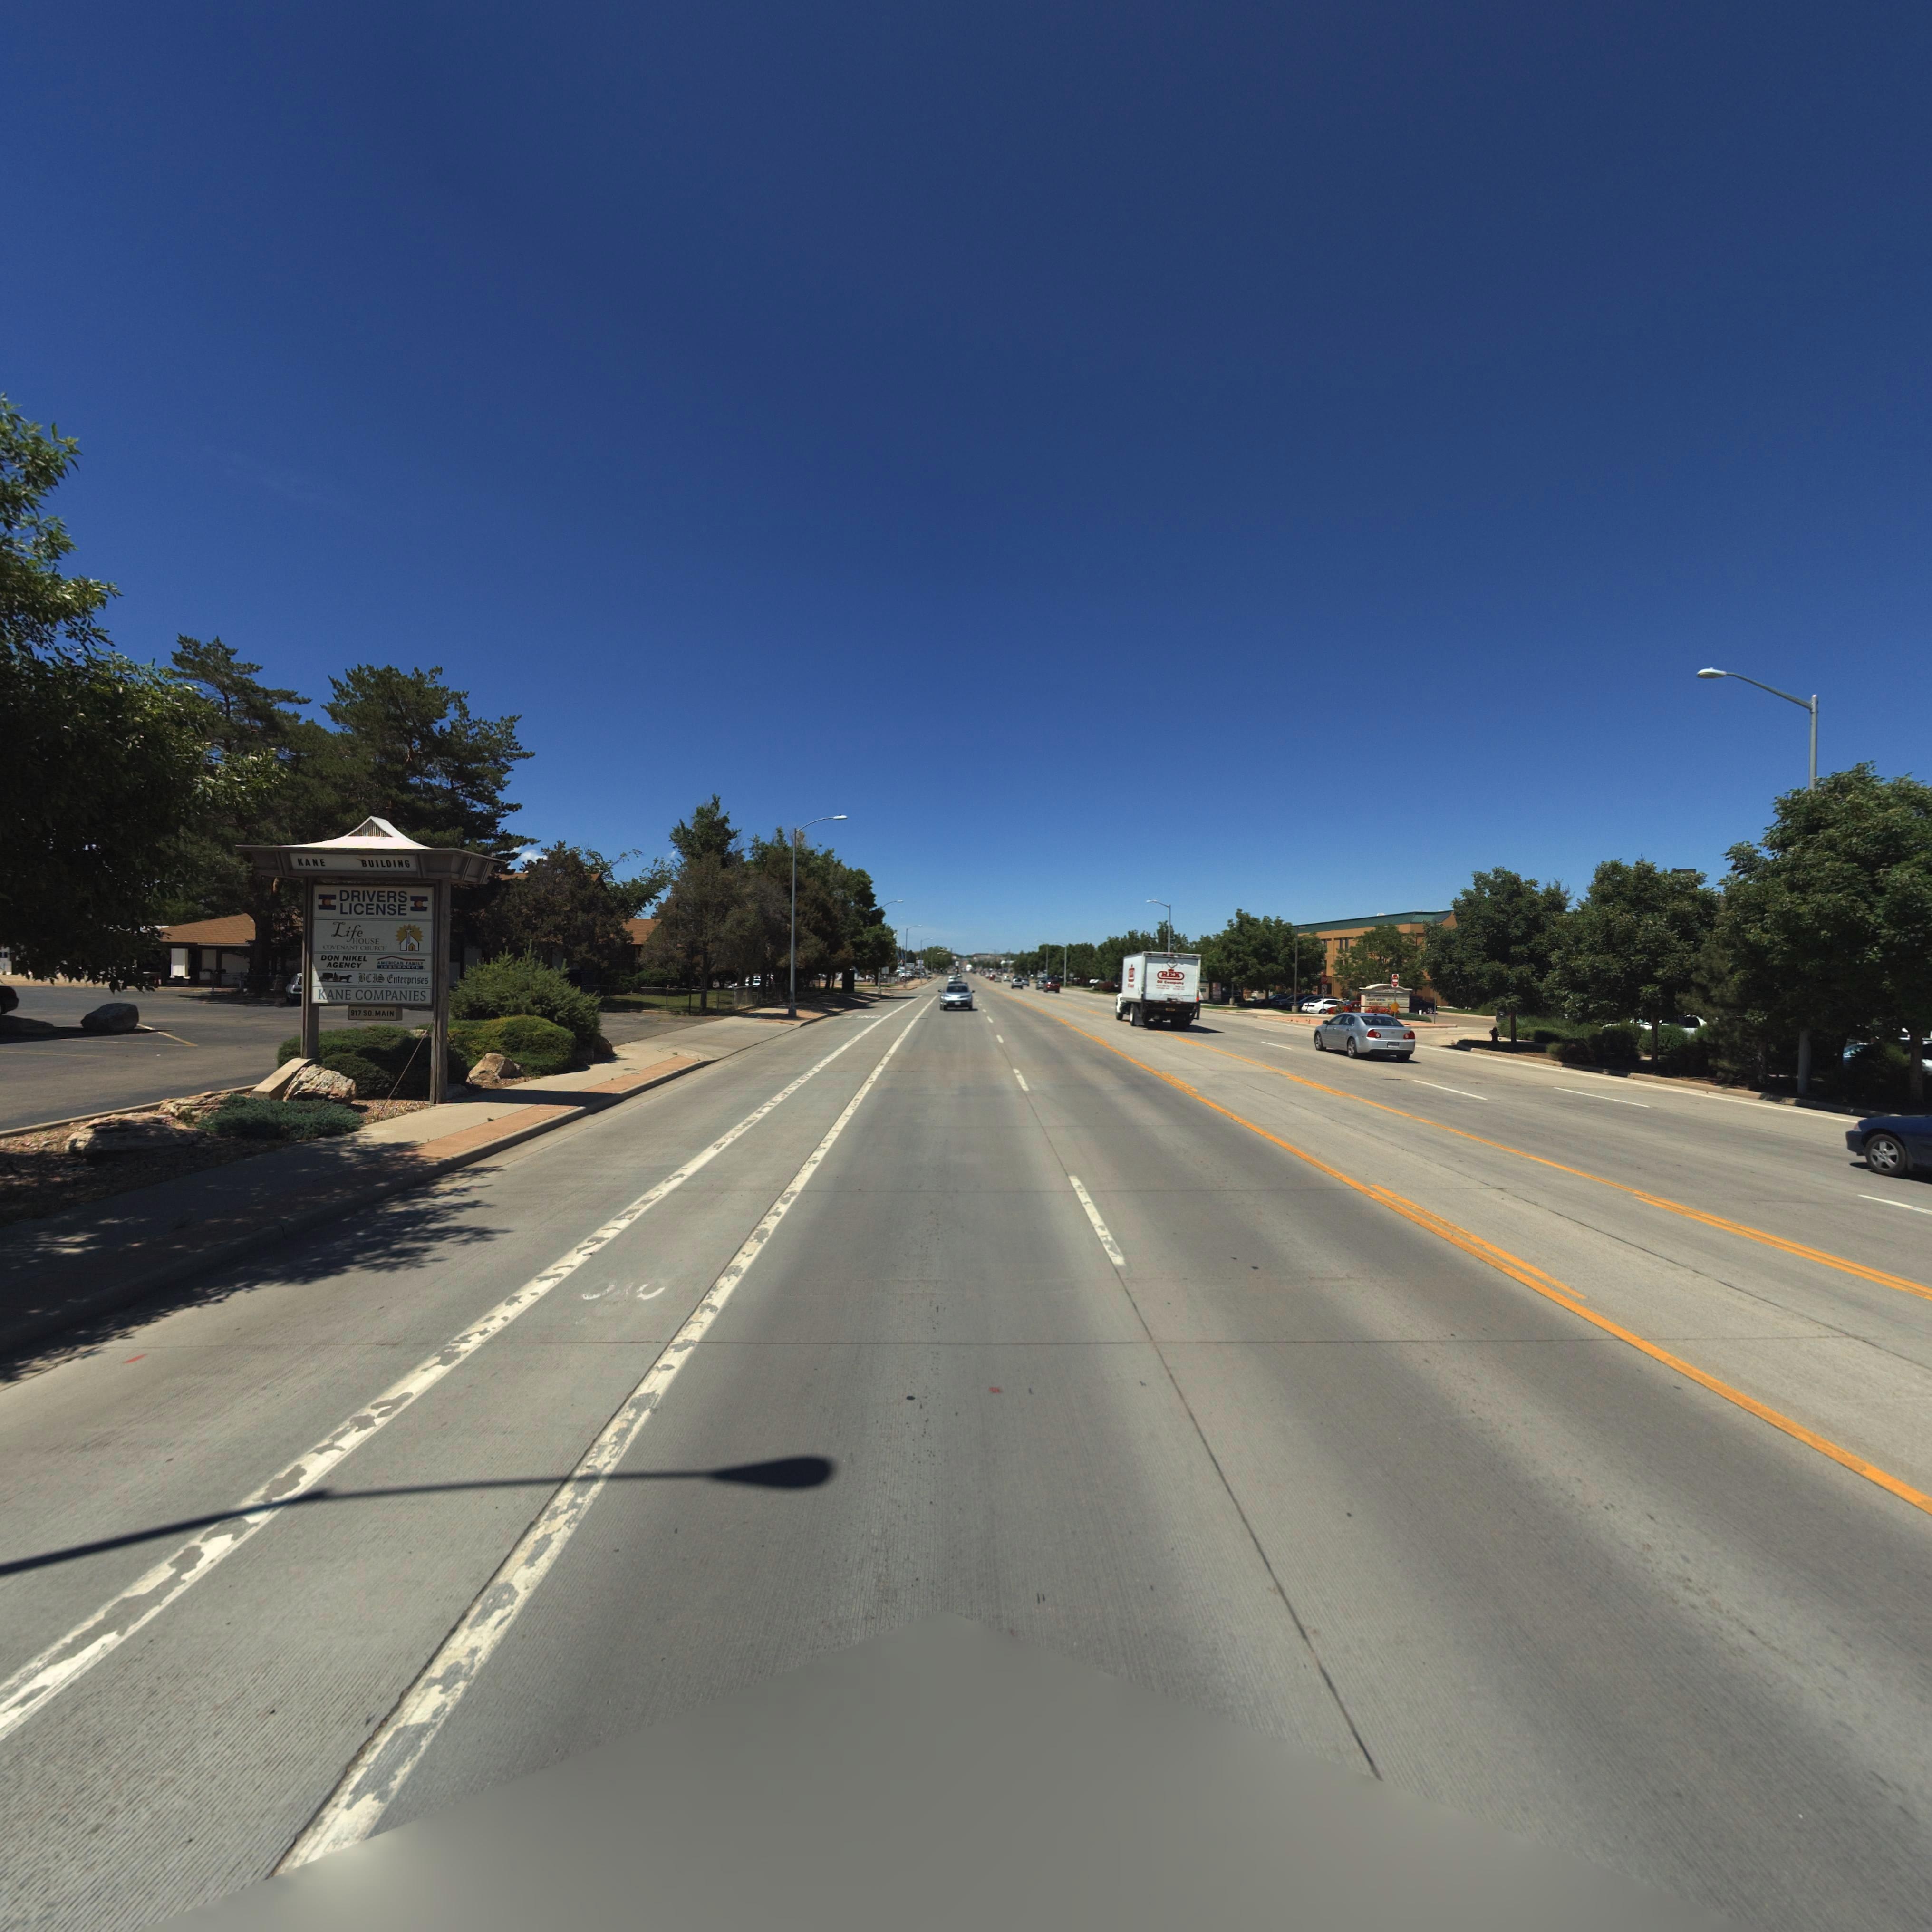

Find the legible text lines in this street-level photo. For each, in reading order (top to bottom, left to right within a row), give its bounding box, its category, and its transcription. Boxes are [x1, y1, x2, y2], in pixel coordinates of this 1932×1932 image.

[332, 921, 363, 937] BusinessName: Life
[352, 937, 379, 945] BusinessName: HOUSE
[322, 944, 388, 951] BusinessName: COVENANT CHURCH
[377, 961, 424, 965] BusinessName: AMERICAN FAMILY
[380, 965, 420, 969] BusinessName: INSURANCE
[359, 972, 428, 986] BusinessName: BCIS Enterprises
[1382, 985, 1391, 990] StreetNumber: 500
[350, 1010, 361, 1016] StreetNumber: 917
[363, 1009, 394, 1016] StreetName: SO. MAIN